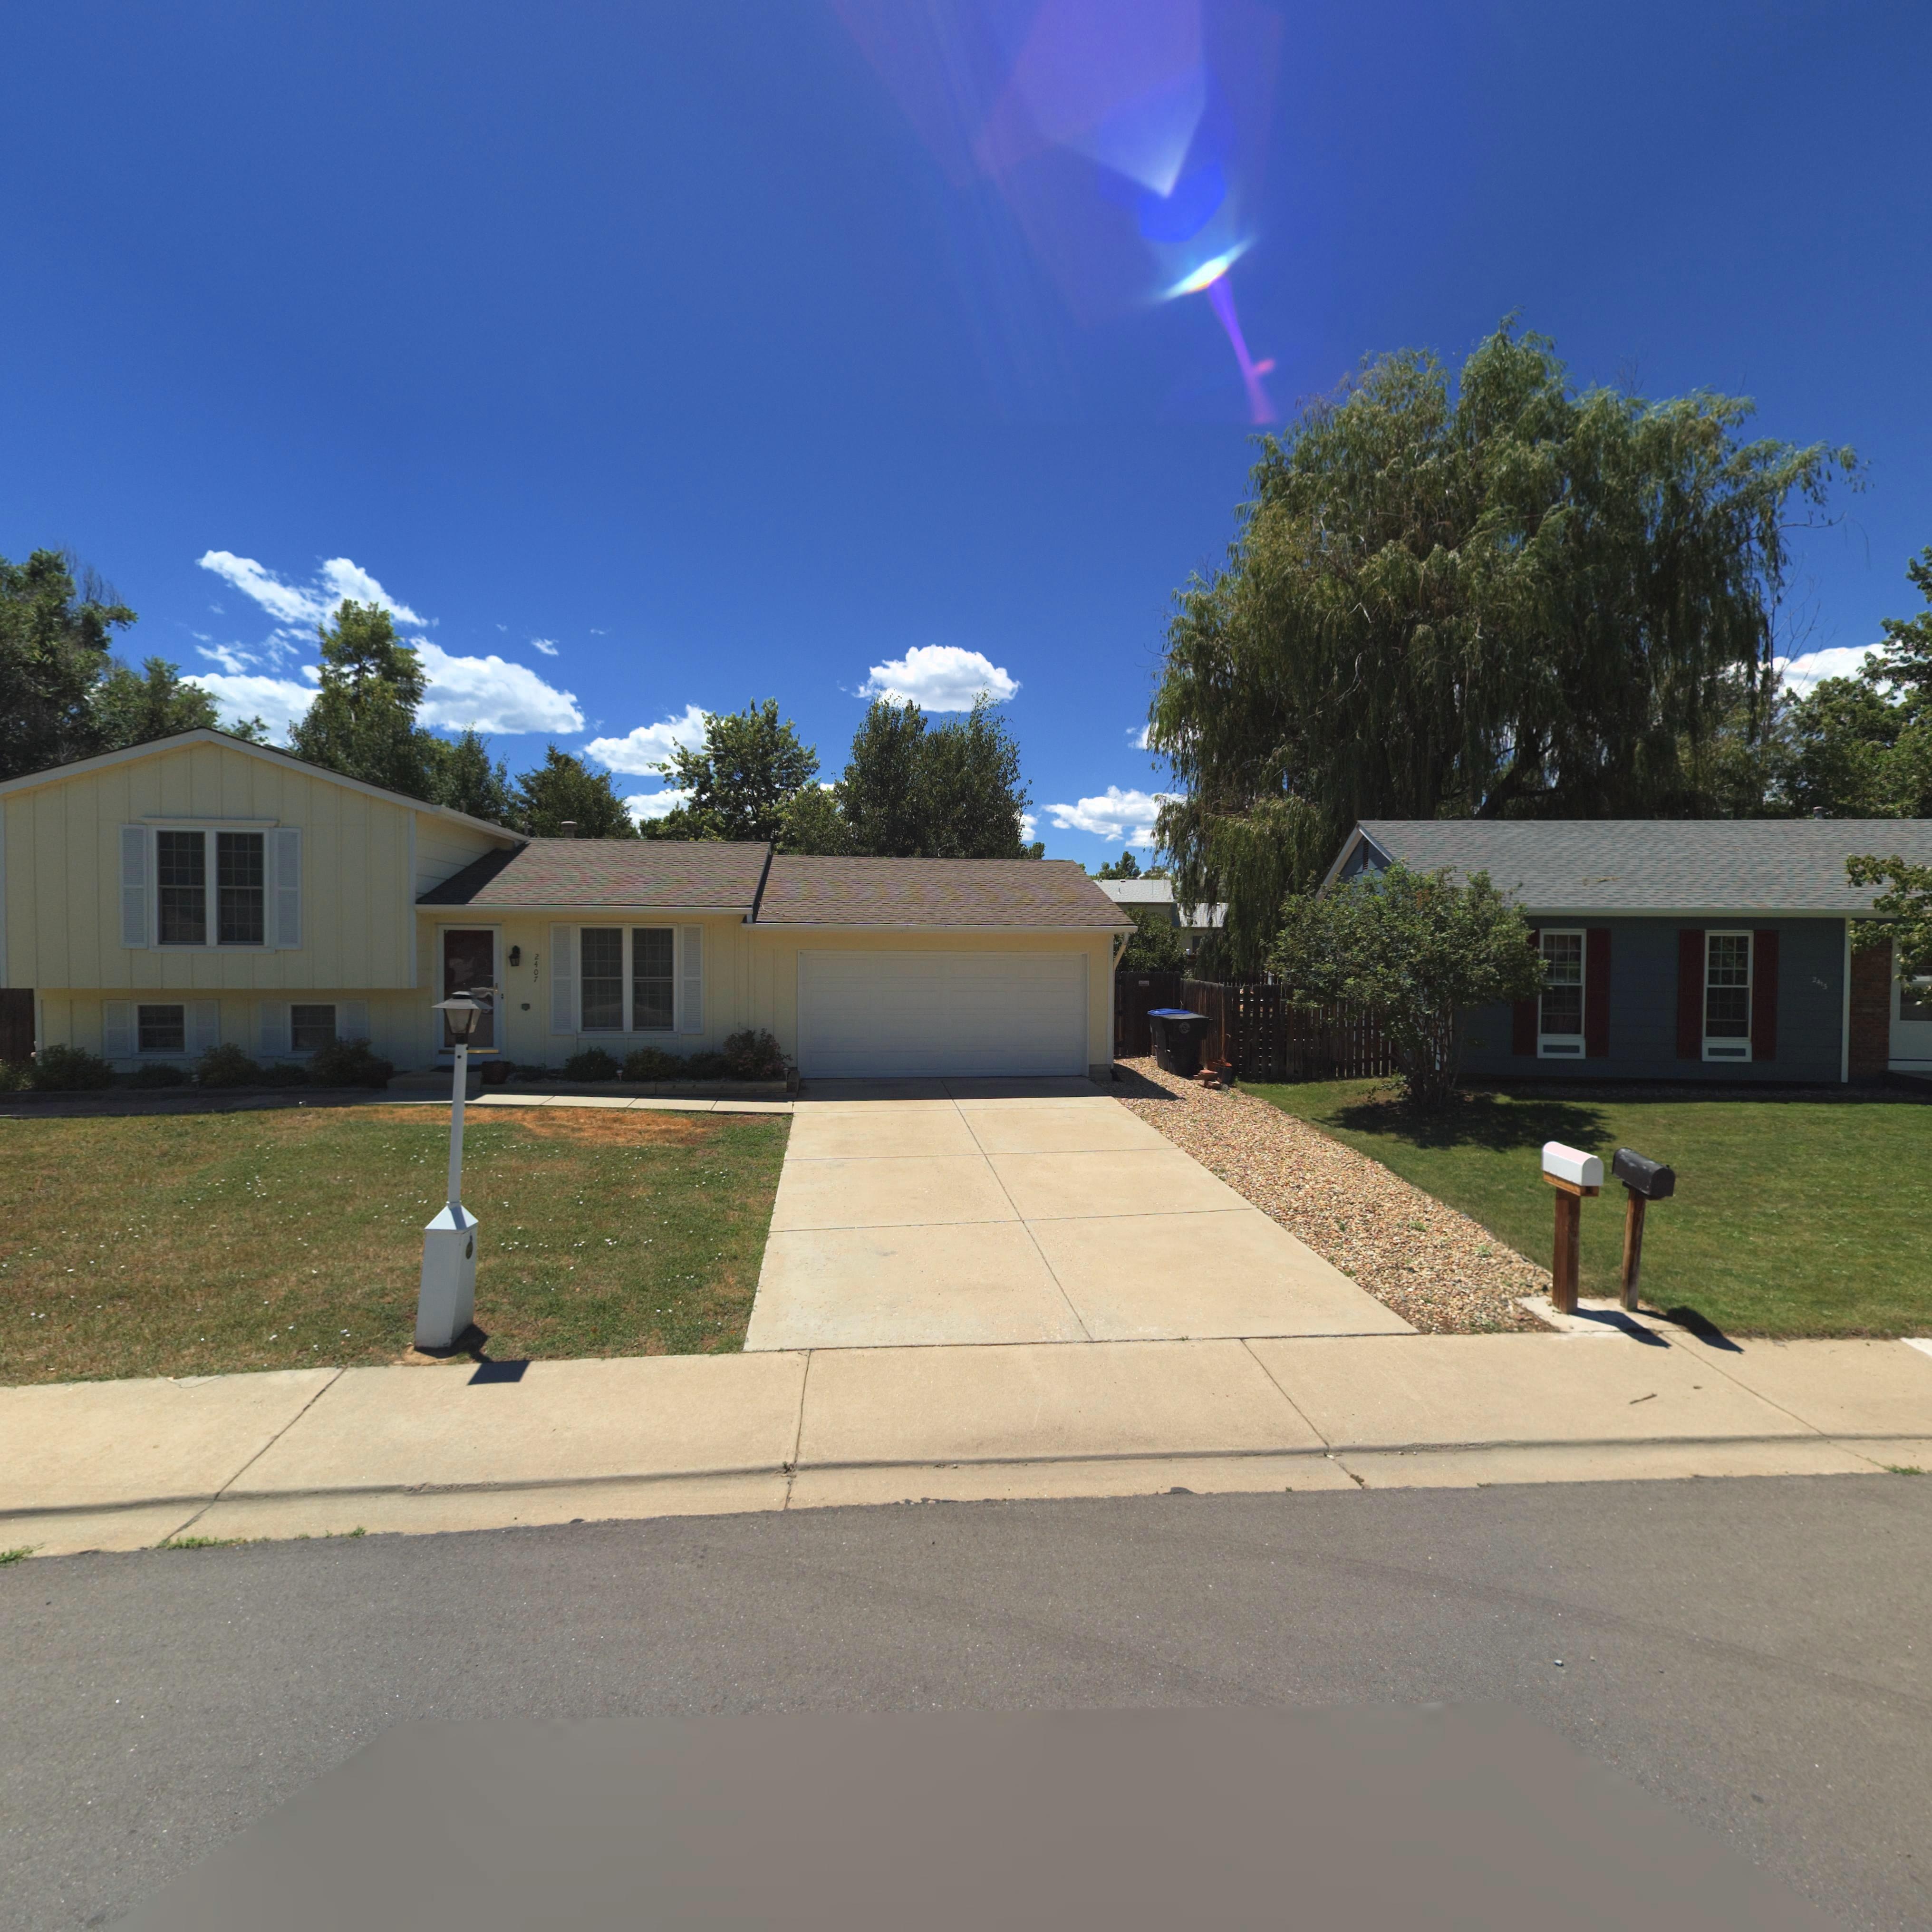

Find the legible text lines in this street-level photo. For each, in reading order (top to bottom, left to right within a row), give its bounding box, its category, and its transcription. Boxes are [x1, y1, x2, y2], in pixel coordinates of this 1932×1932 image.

[533, 953, 539, 983] StreetNumber: 2407
[1811, 976, 1828, 990] StreetNumber: 2415